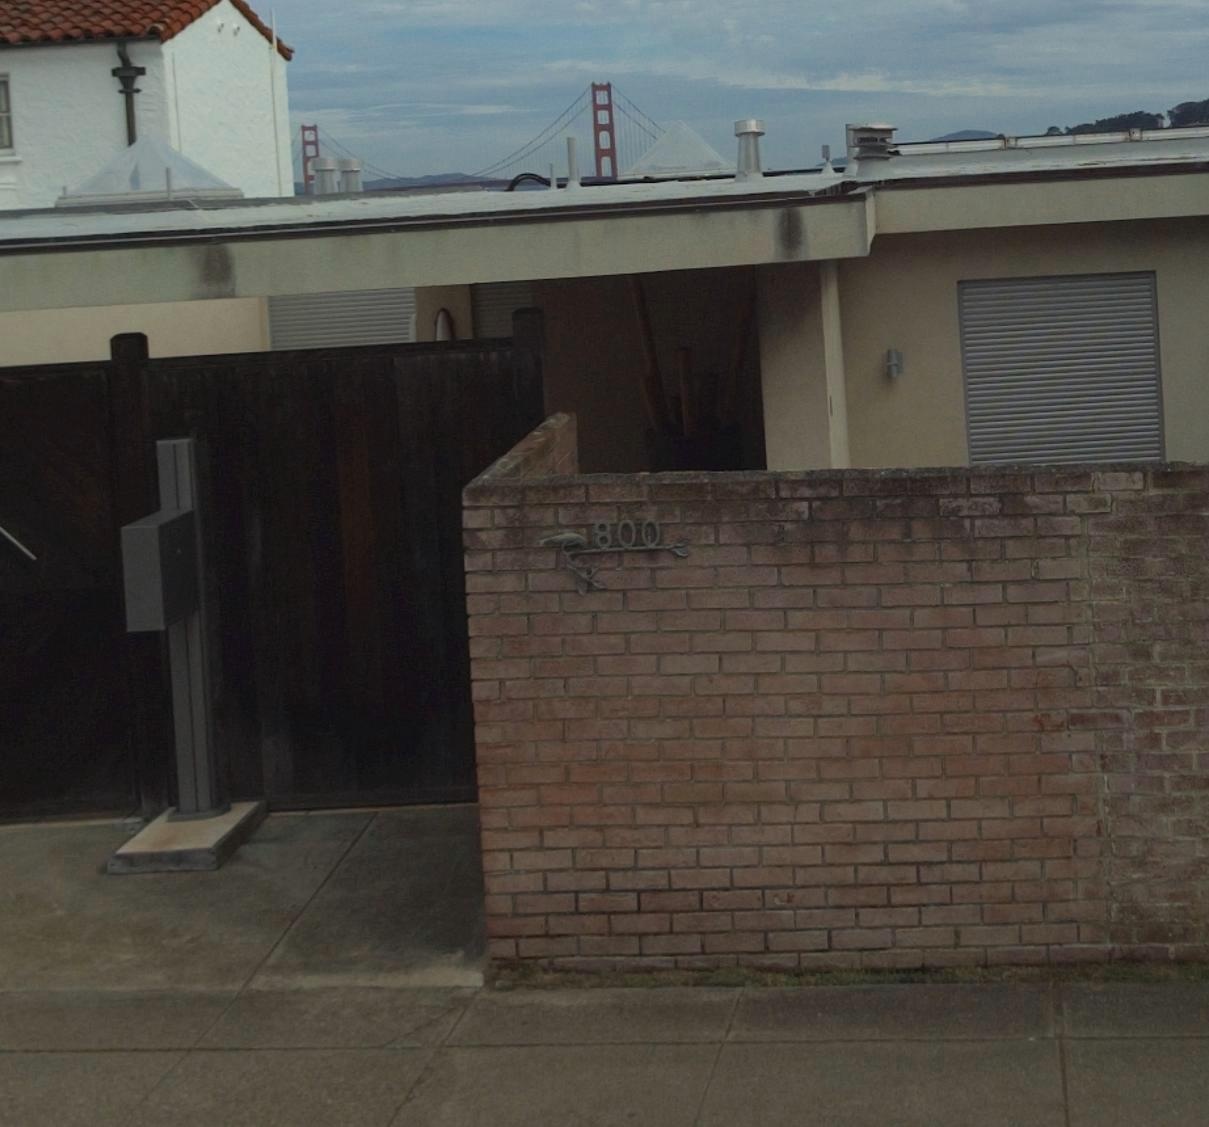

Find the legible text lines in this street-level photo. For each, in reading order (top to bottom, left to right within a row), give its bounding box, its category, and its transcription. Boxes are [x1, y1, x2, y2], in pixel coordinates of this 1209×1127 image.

[592, 517, 662, 548] StreetNumber: 800